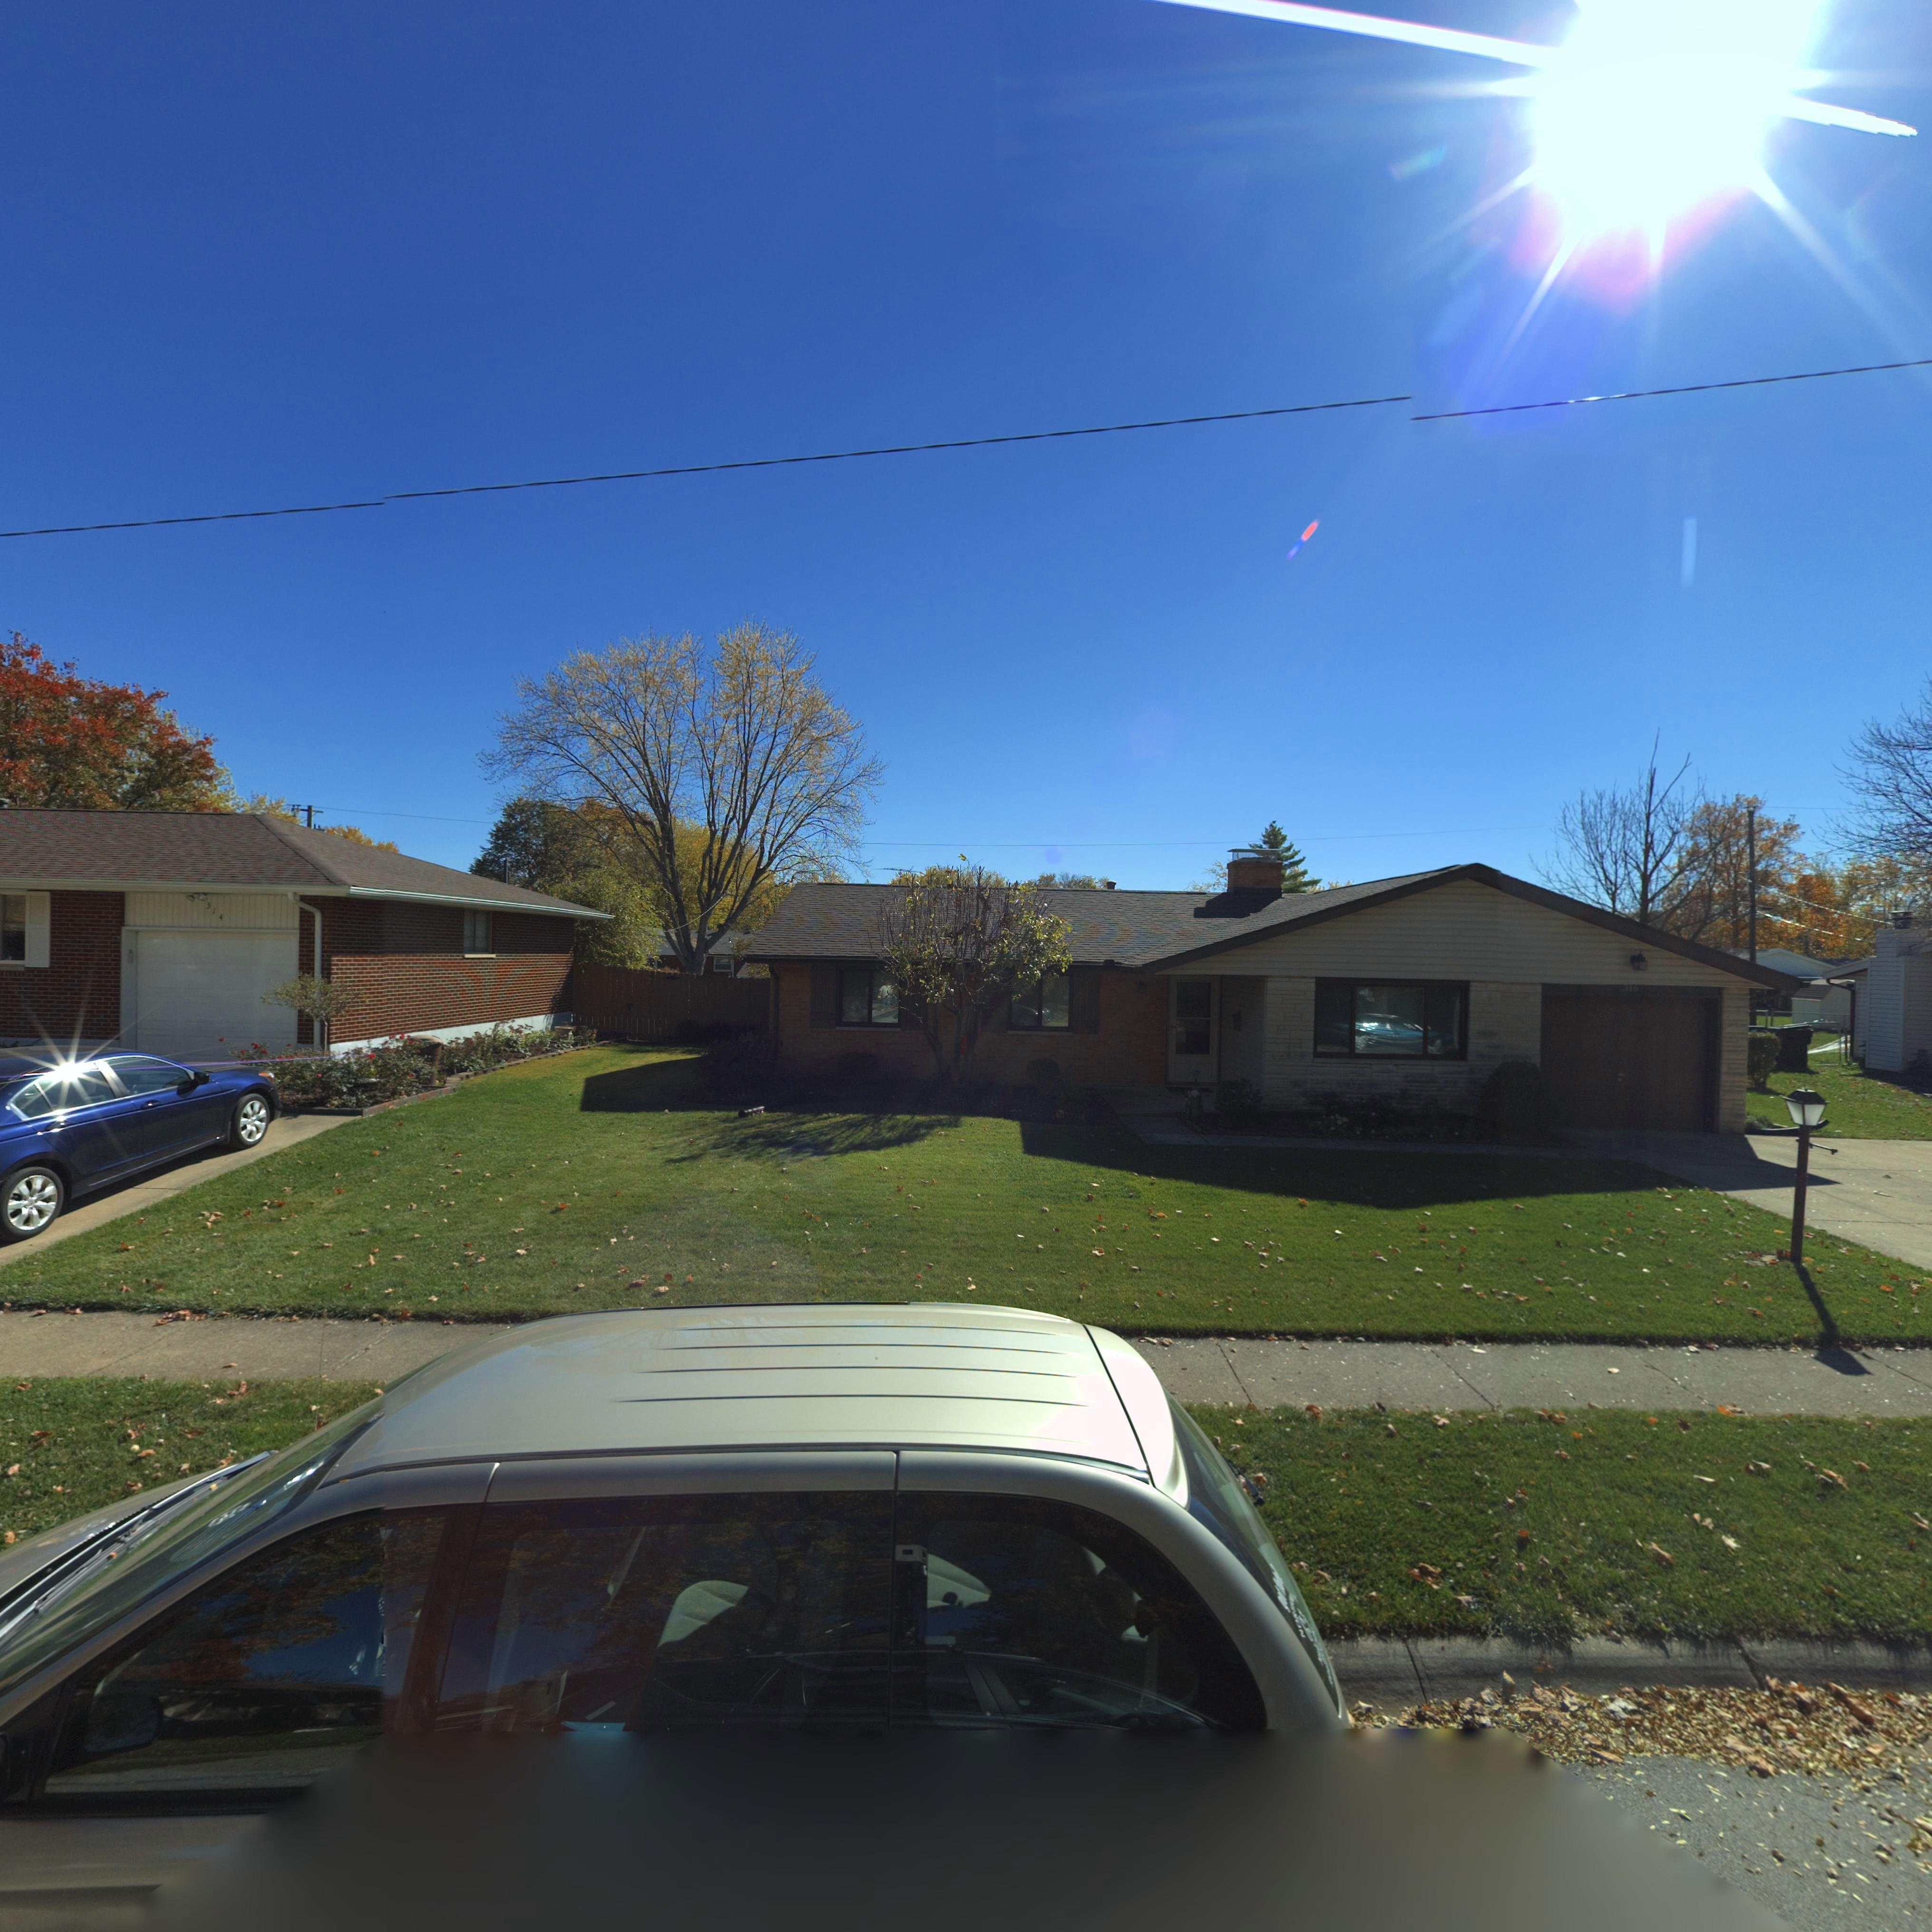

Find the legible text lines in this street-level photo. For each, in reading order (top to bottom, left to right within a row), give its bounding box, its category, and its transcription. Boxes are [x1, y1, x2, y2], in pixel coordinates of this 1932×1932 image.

[204, 900, 224, 921] StreetNumber: 314
[1620, 983, 1640, 994] StreetNumber: 31*